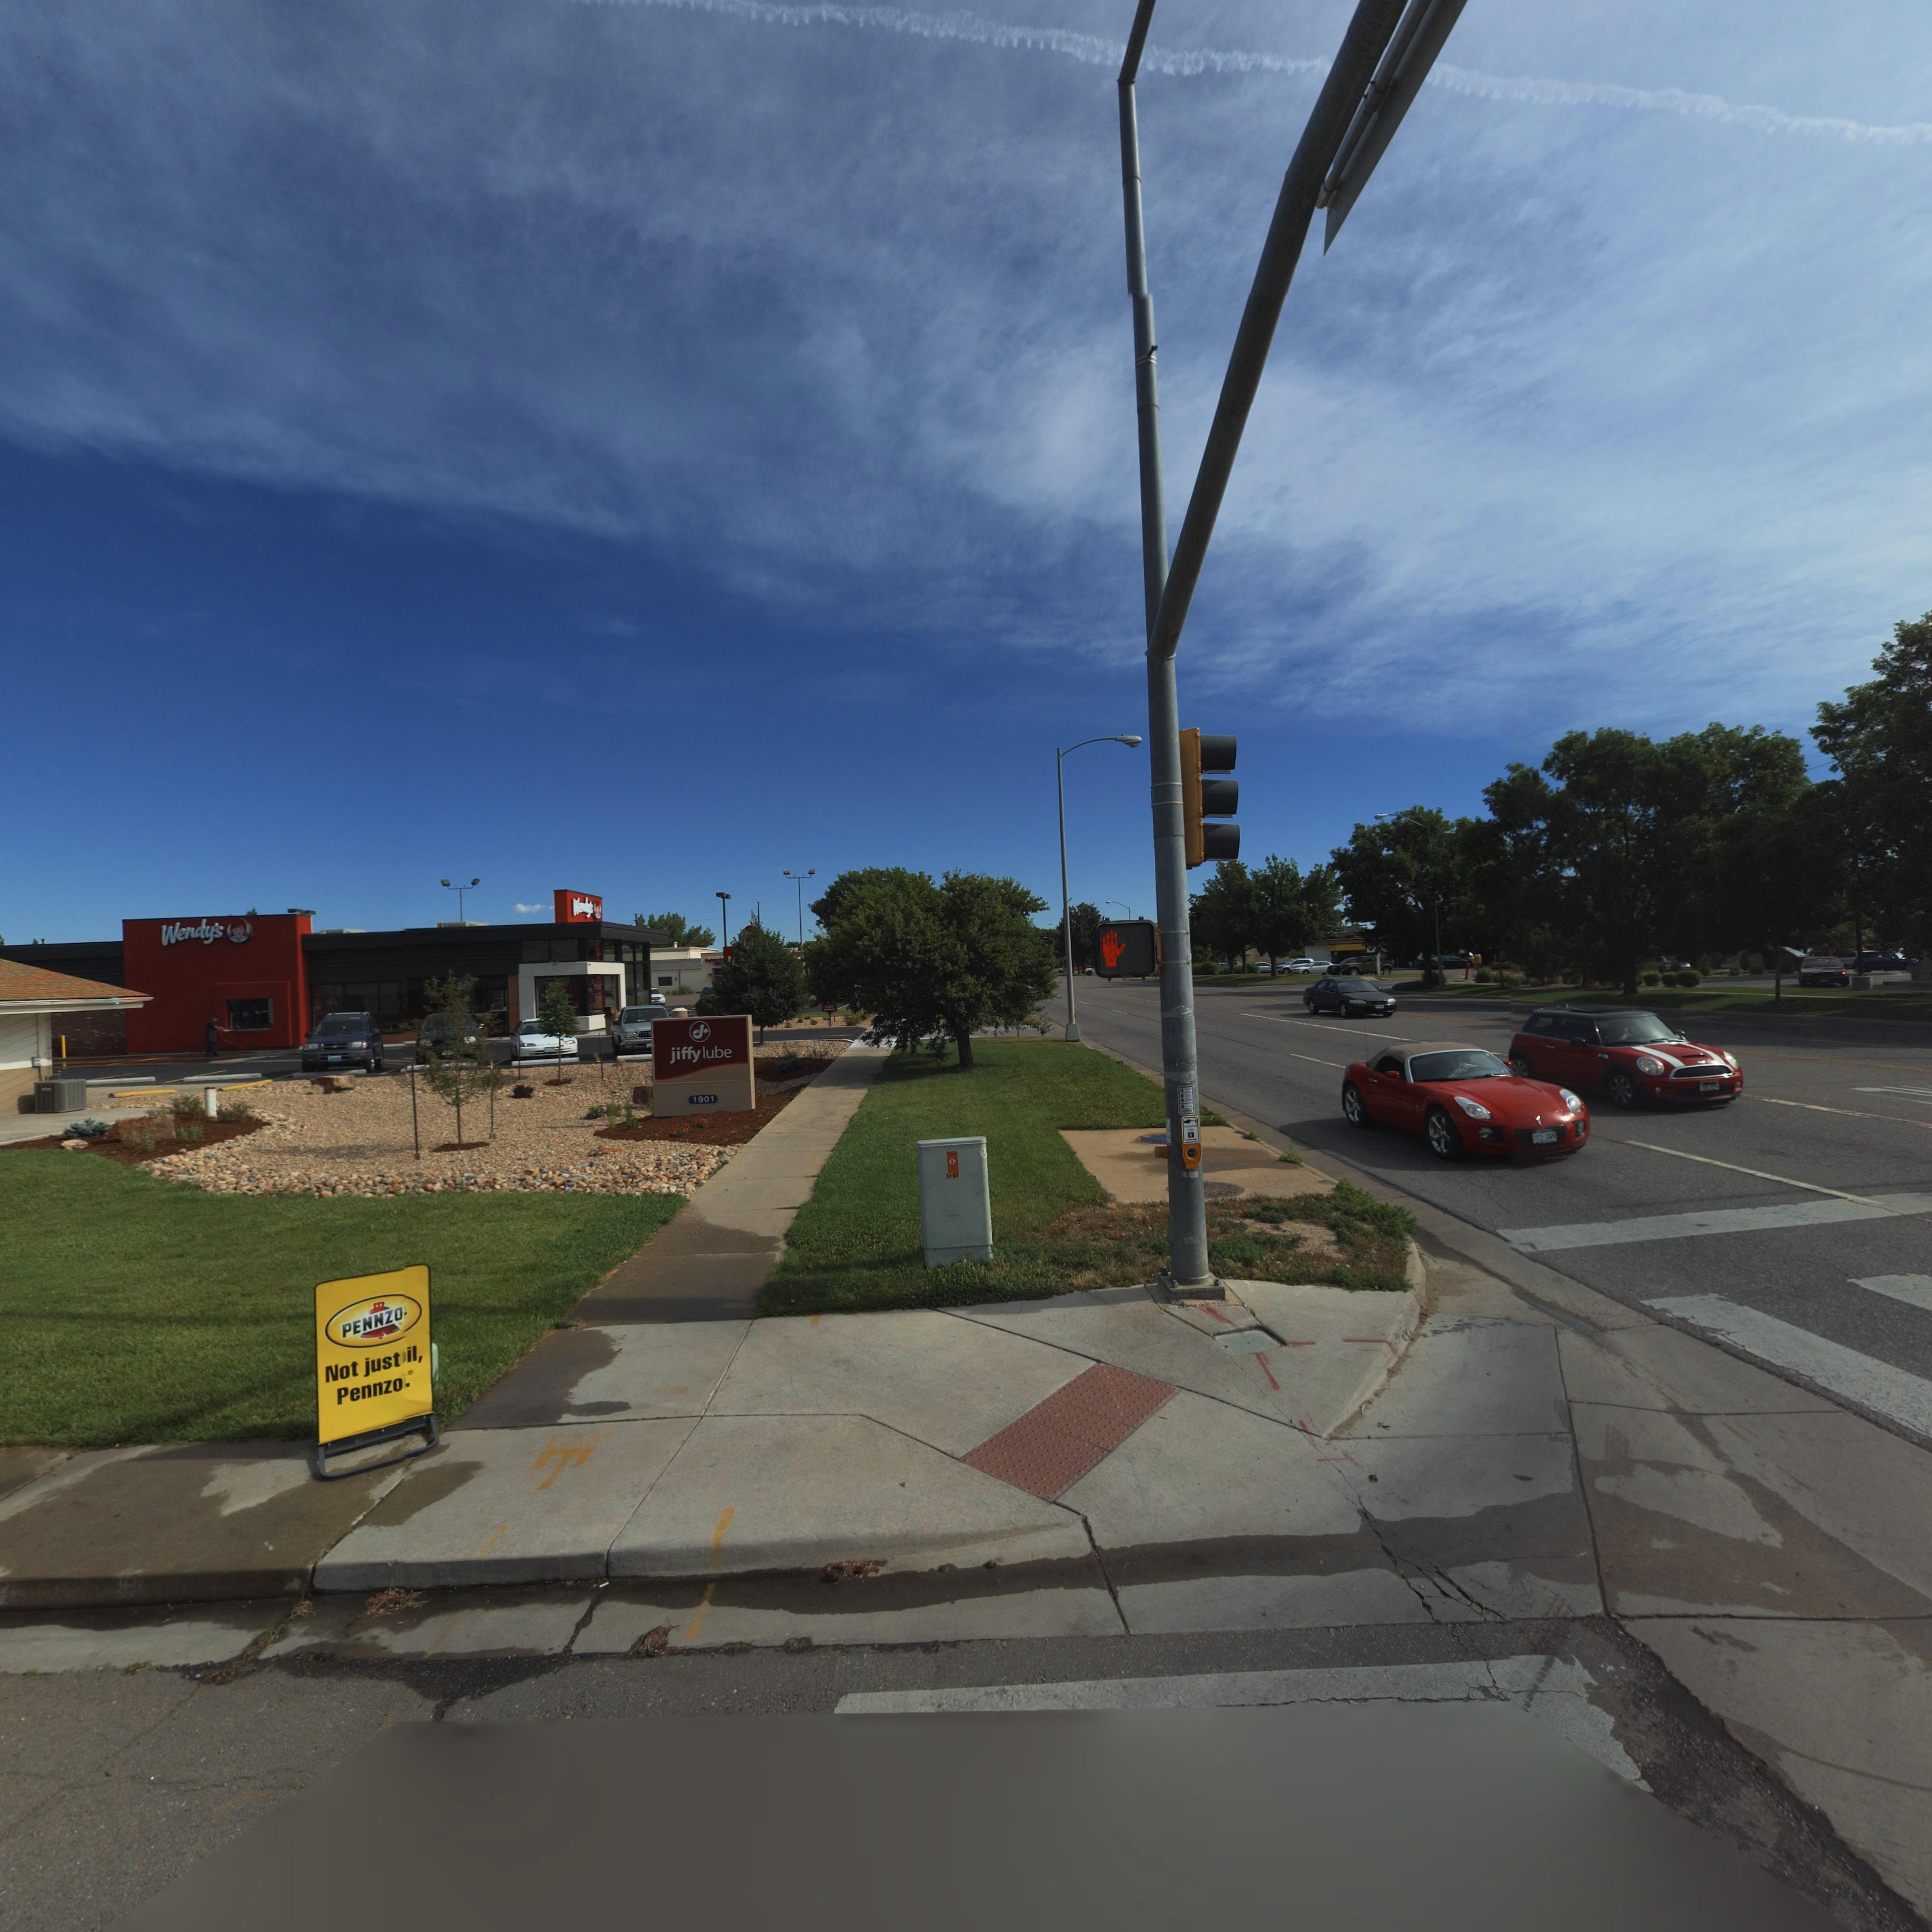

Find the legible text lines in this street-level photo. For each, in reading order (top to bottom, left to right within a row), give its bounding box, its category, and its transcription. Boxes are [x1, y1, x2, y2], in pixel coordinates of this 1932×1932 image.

[571, 896, 594, 918] BusinessName: *W***'s
[160, 918, 225, 947] BusinessName: Wendy's
[669, 1044, 733, 1065] BusinessName: jiffylube
[693, 1095, 715, 1102] StreetNumberRange: 1901